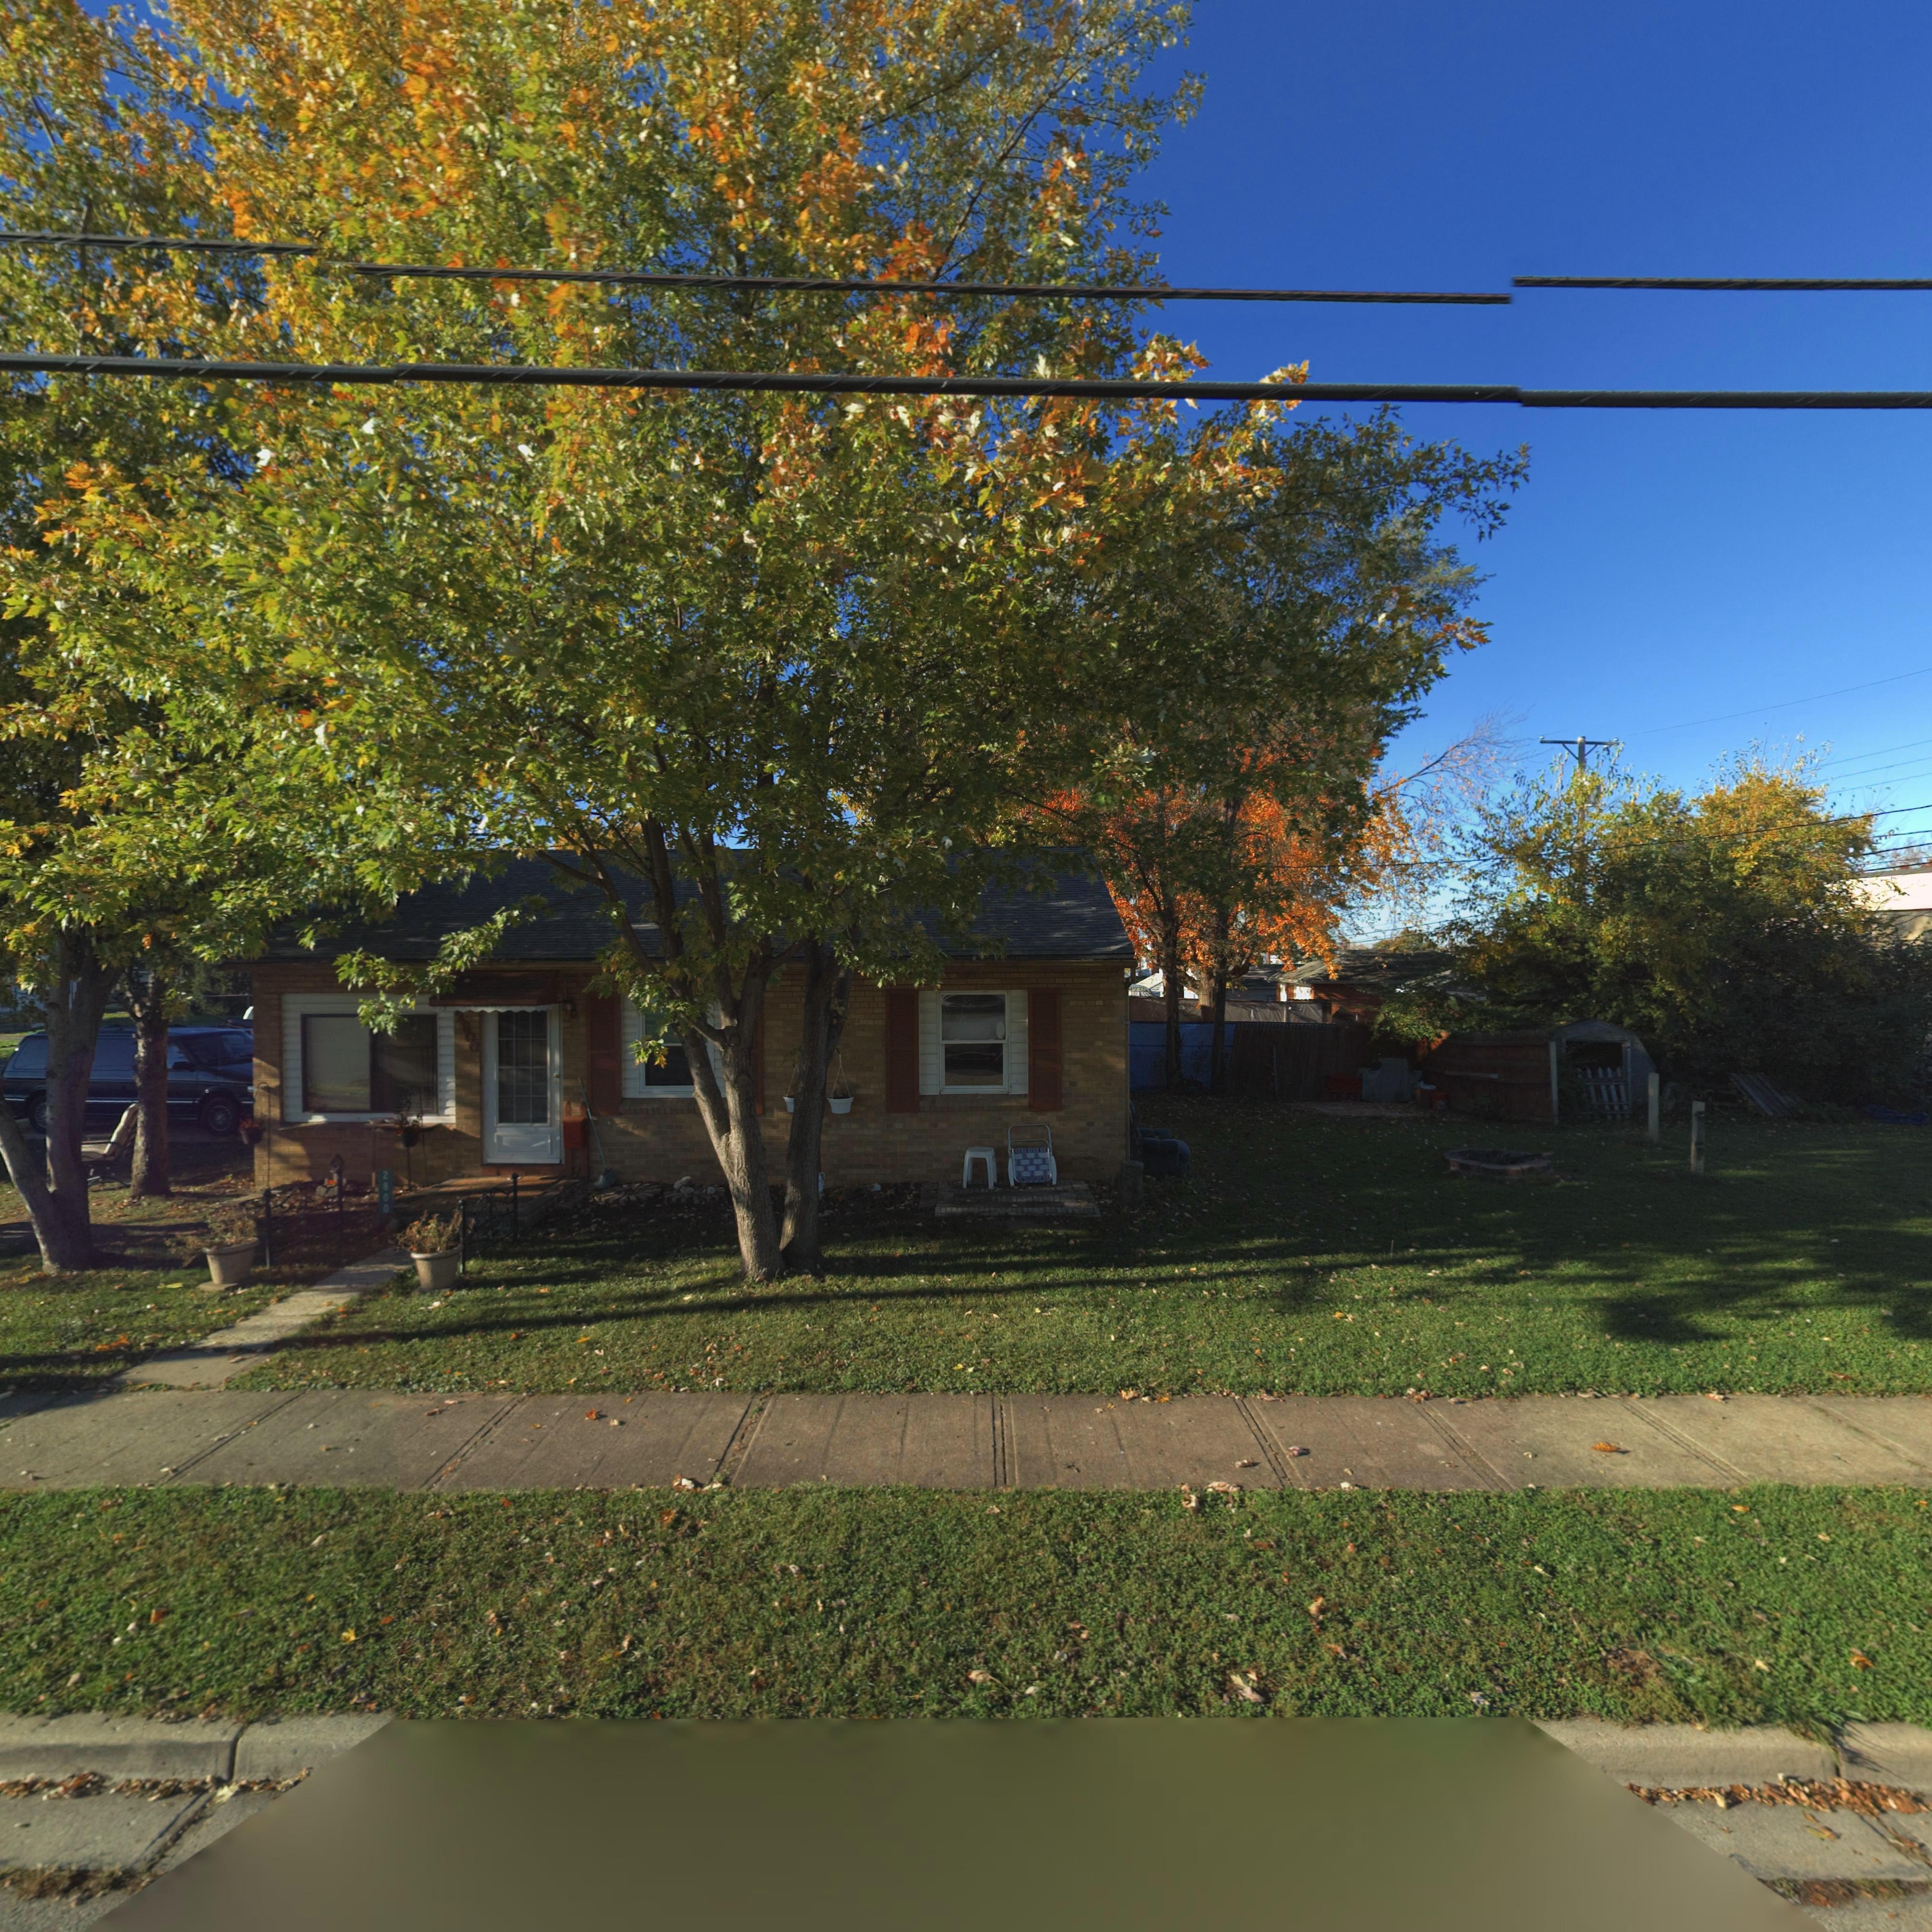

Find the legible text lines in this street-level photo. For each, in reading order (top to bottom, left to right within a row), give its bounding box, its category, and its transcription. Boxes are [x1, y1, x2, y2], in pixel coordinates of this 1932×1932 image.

[453, 1010, 479, 1053] StreetNumber: 2800
[381, 1170, 390, 1214] StreetNumber: 2800